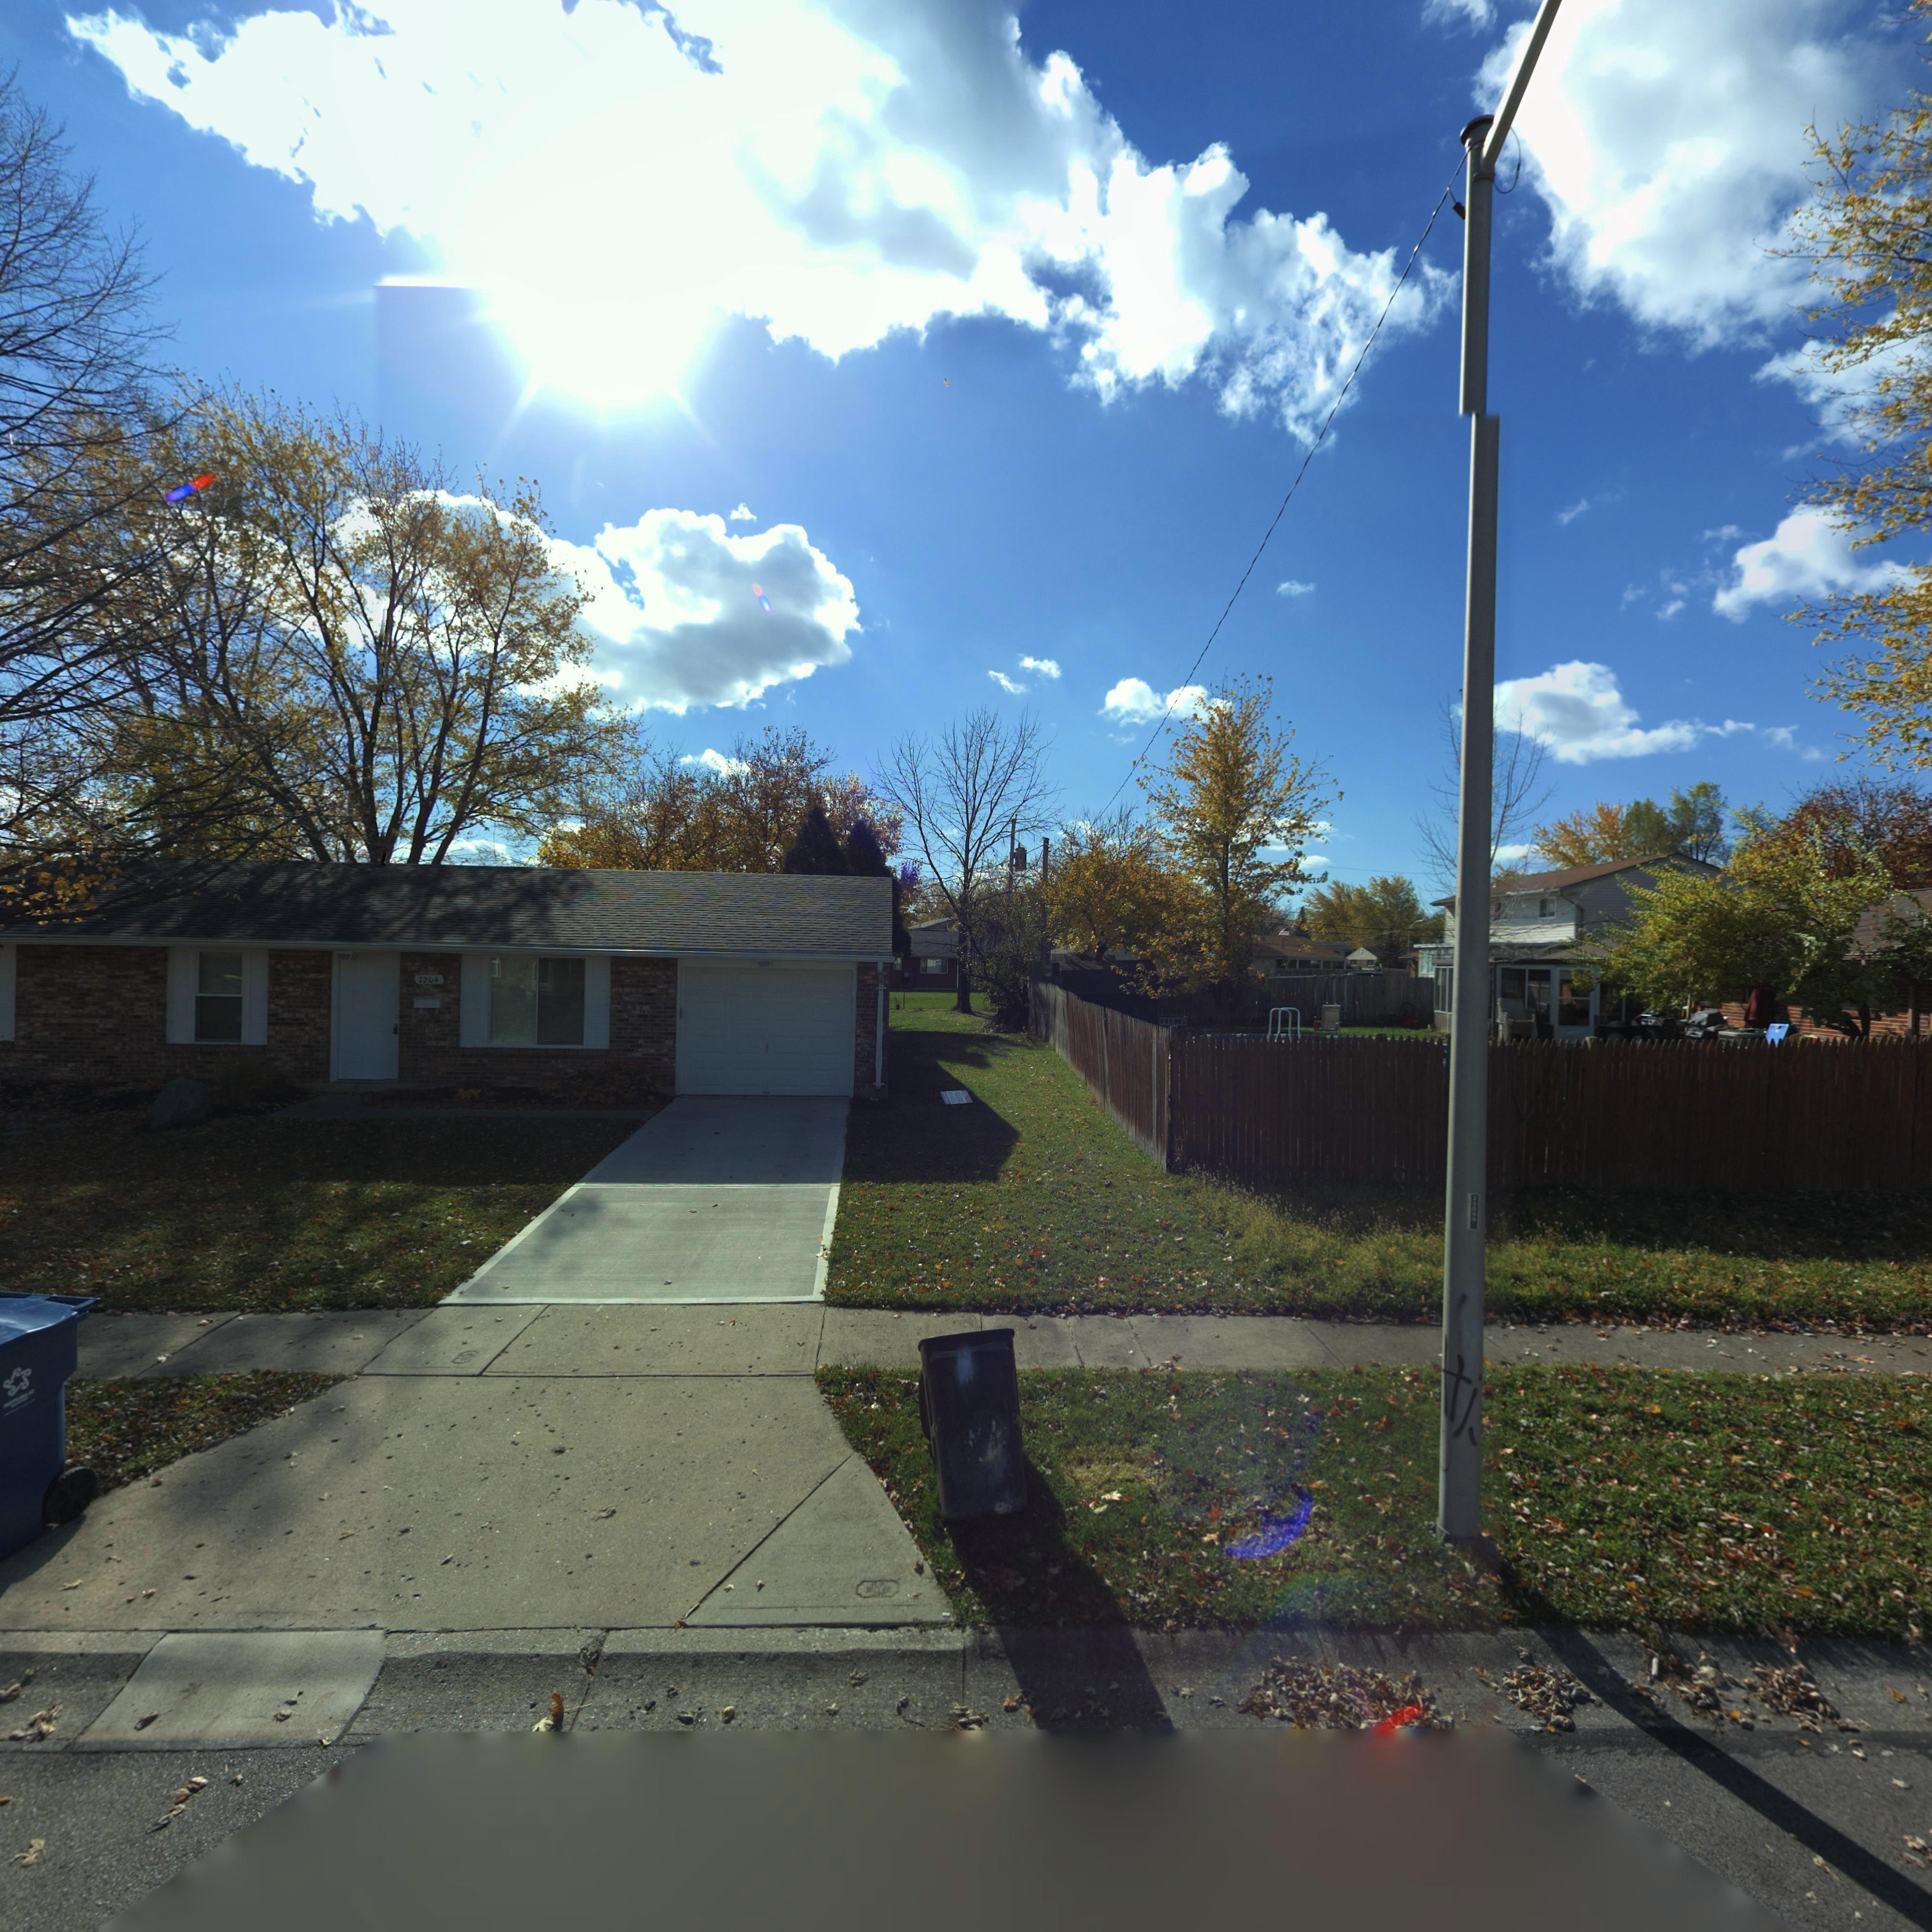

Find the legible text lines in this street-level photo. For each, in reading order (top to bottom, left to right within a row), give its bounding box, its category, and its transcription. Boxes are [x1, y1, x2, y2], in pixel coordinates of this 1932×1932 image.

[417, 976, 440, 985] StreetNumber: 7204